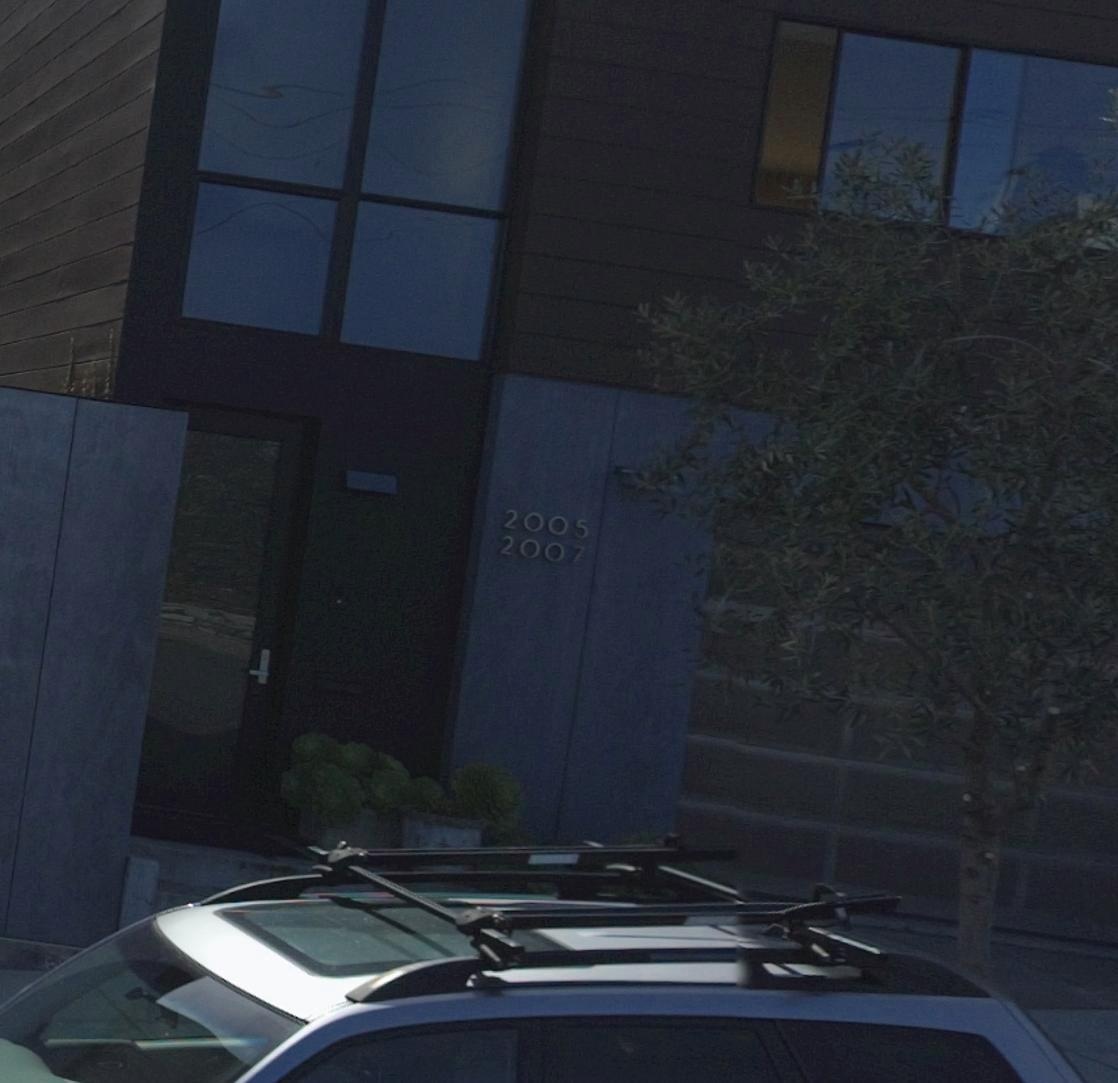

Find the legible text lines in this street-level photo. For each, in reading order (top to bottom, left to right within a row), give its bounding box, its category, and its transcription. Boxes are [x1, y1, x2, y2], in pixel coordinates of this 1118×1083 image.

[501, 505, 592, 542] StreetNumber: 2005
[497, 532, 589, 567] StreetNumber: 2007